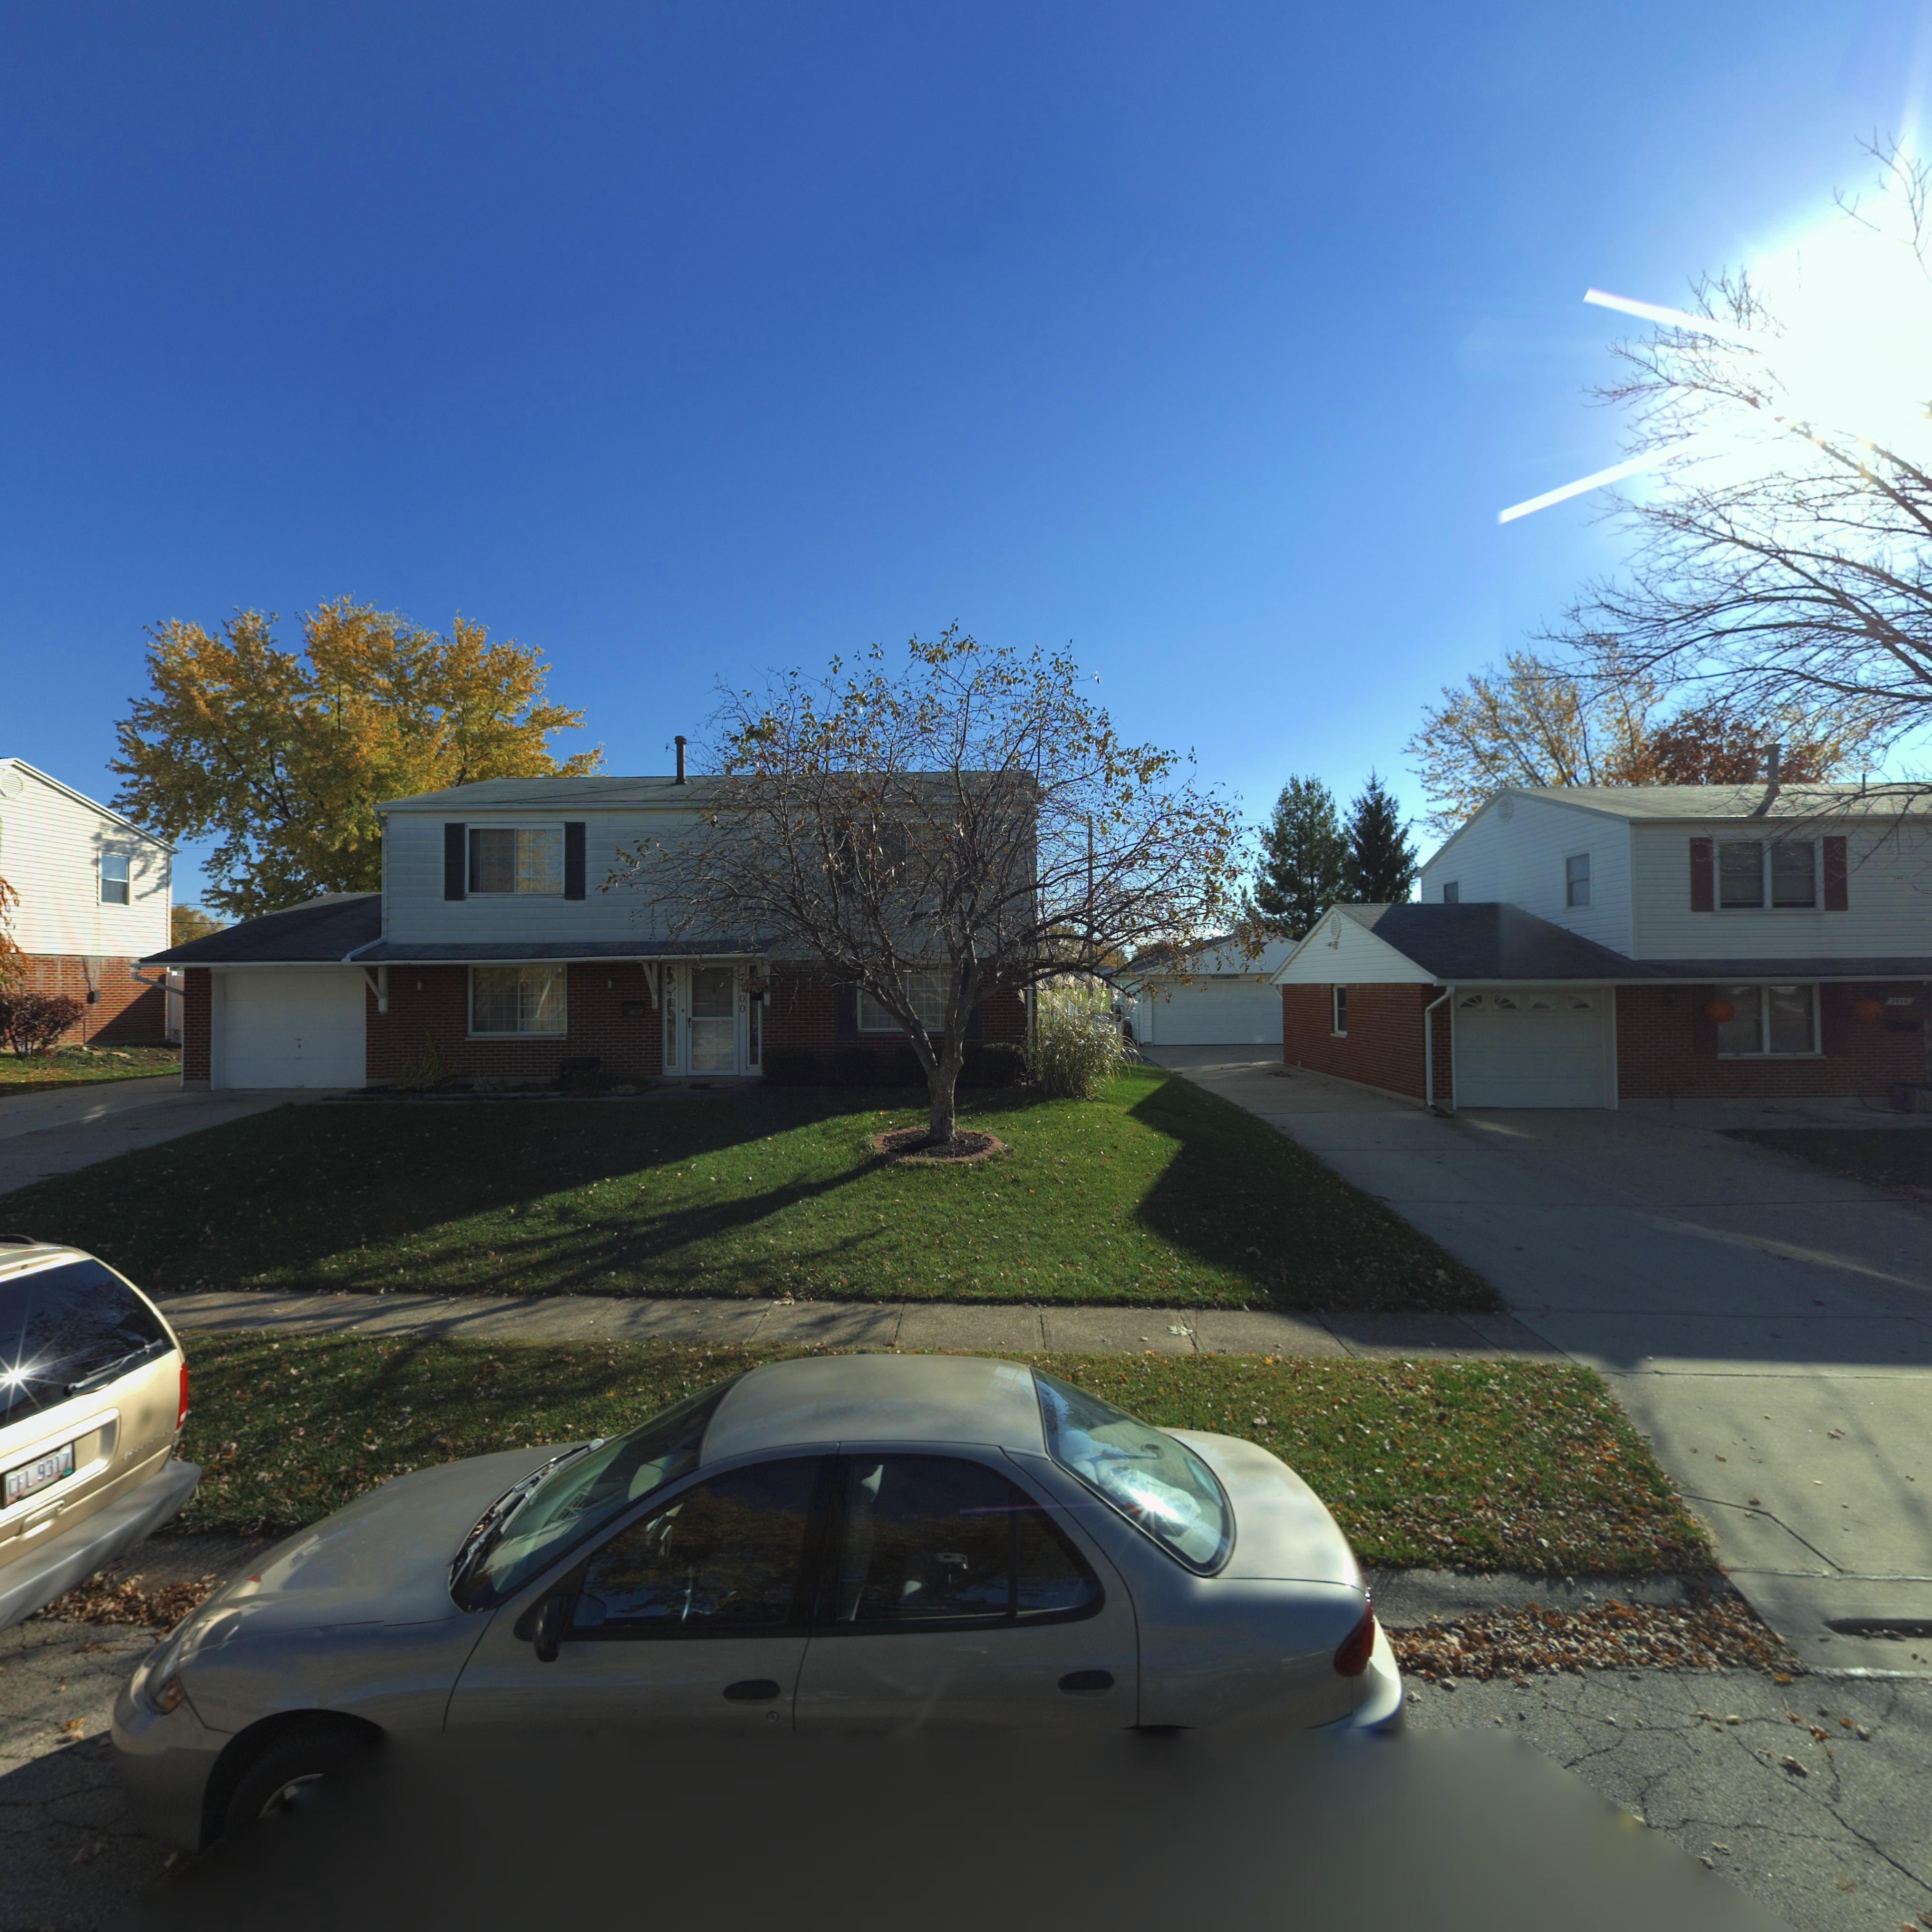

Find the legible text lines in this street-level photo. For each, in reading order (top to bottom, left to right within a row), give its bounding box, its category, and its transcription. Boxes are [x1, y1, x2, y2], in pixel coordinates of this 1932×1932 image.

[739, 994, 746, 1013] StreetNumber: 00
[1890, 998, 1909, 1005] StreetNumber: 7***